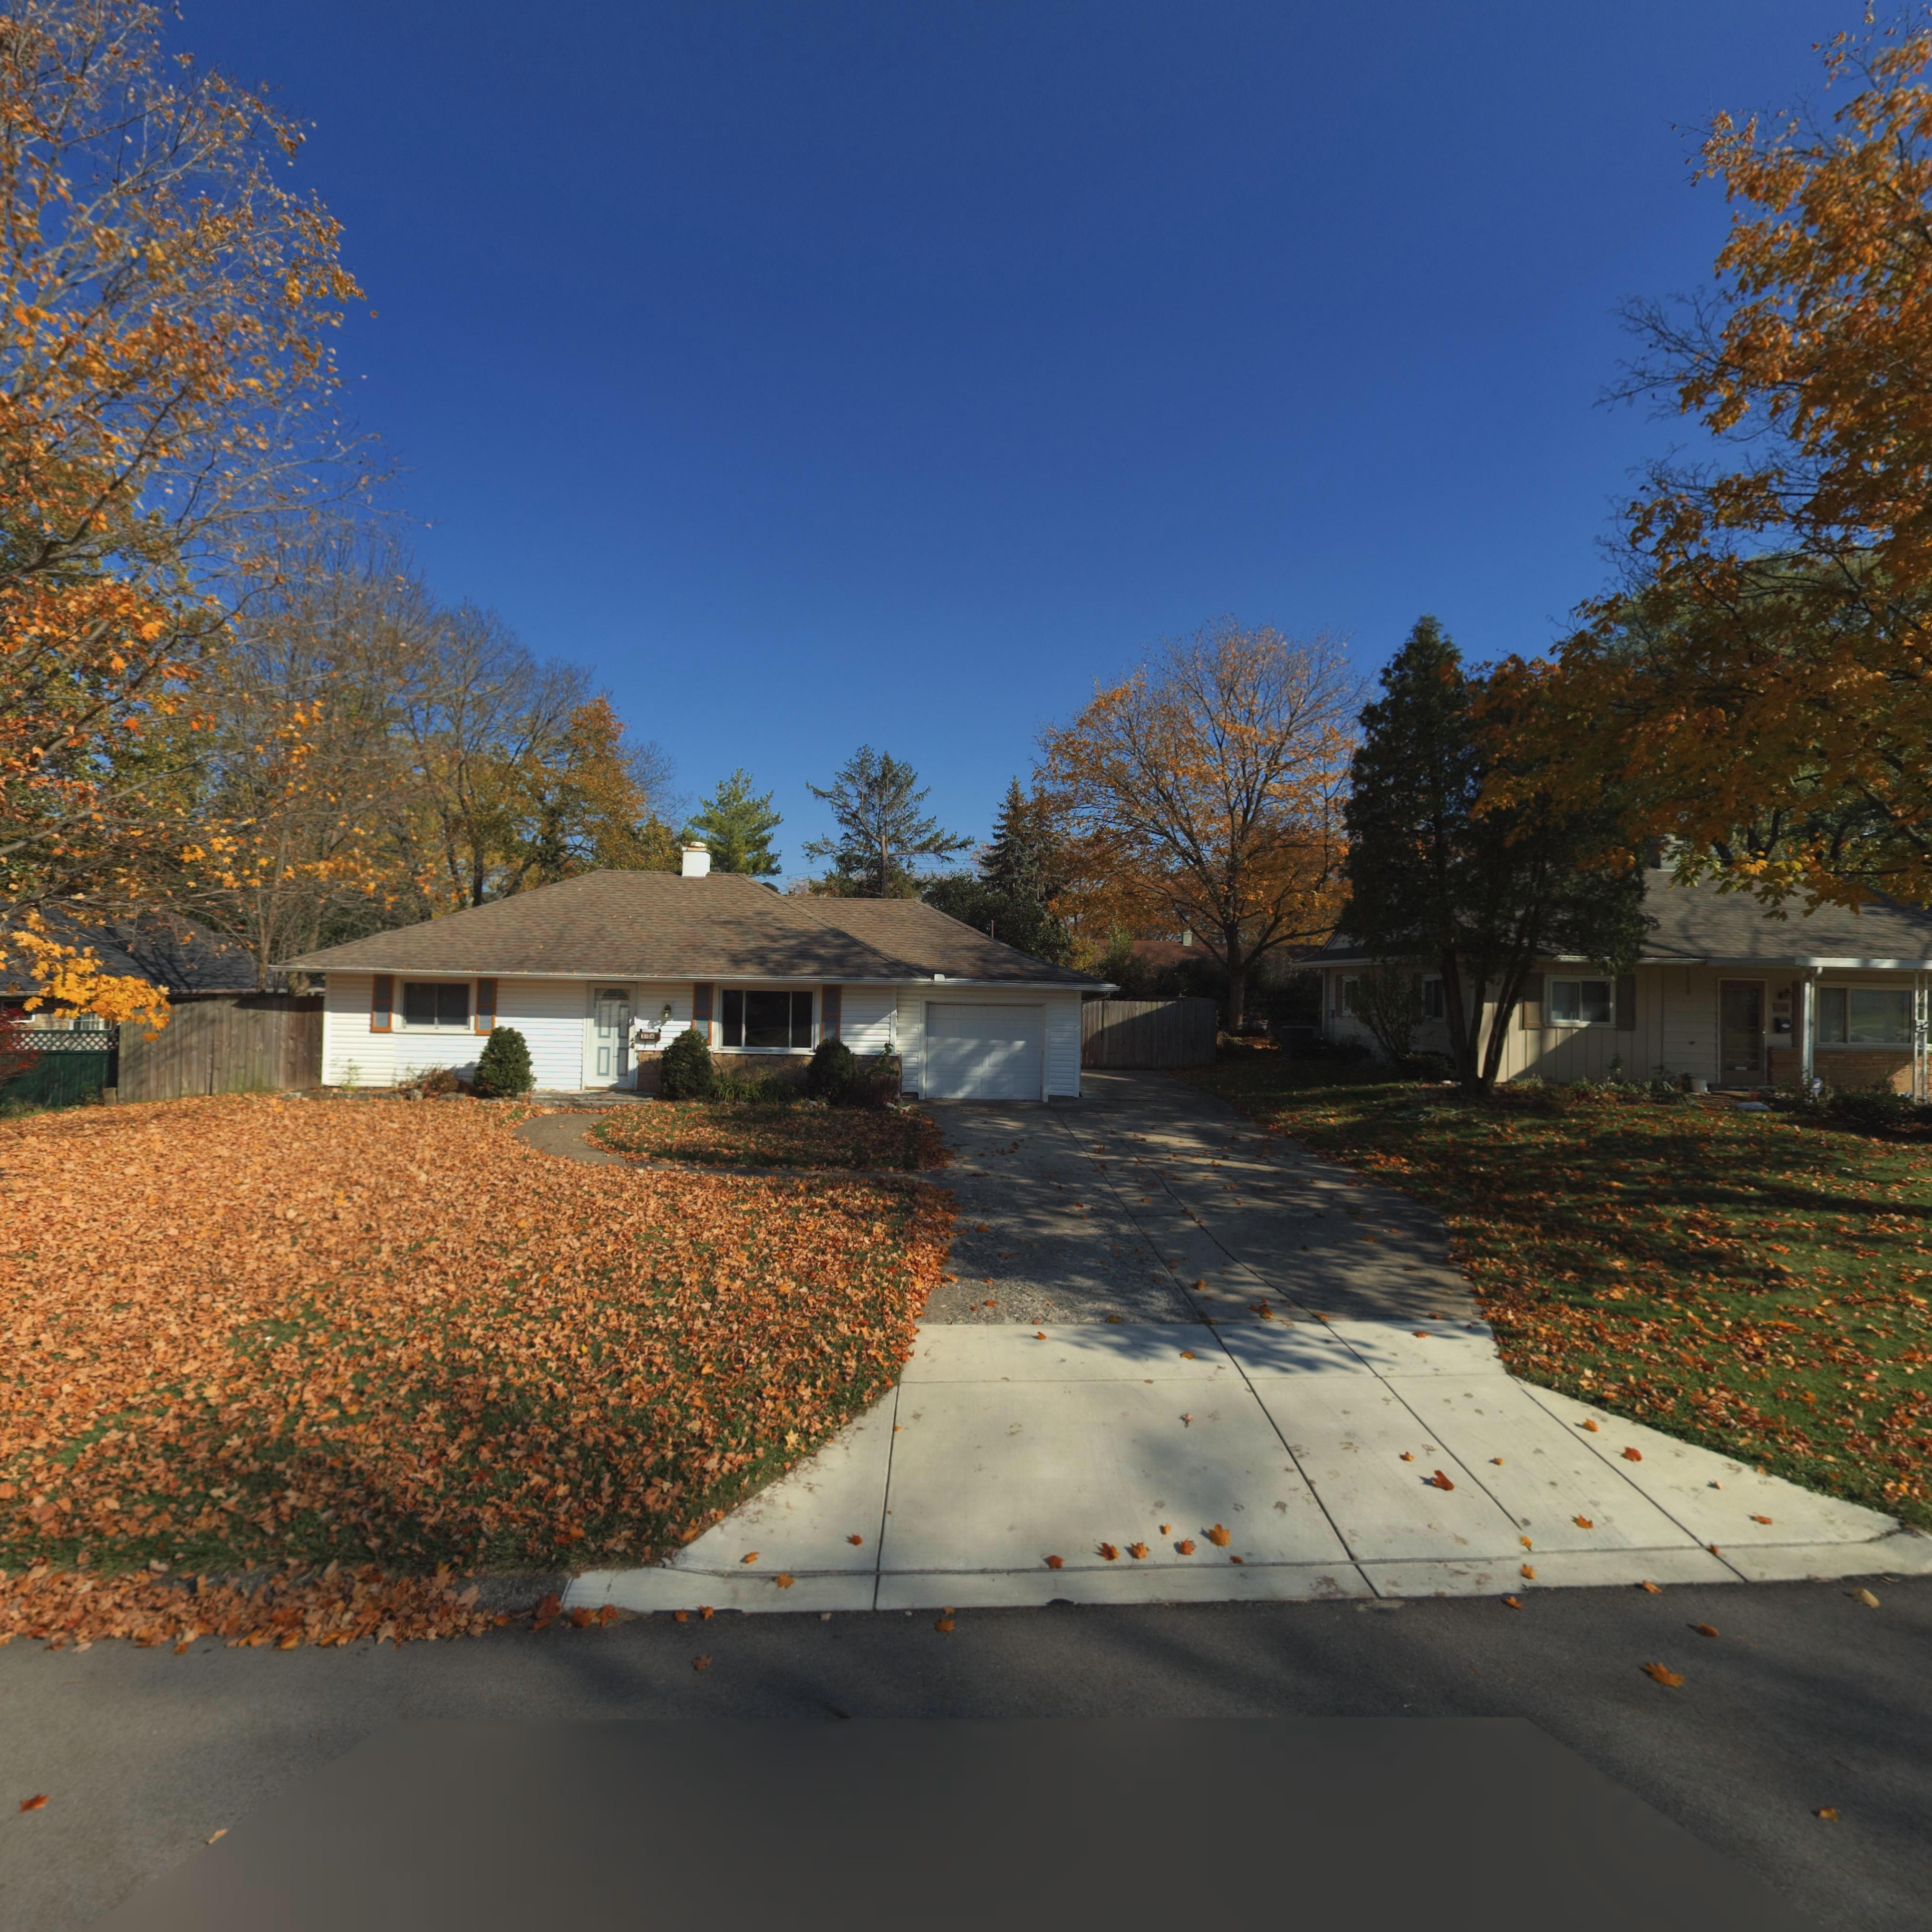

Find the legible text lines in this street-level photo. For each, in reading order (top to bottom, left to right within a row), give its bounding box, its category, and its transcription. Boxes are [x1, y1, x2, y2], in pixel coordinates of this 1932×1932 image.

[641, 1034, 655, 1039] StreetNumber: 3706